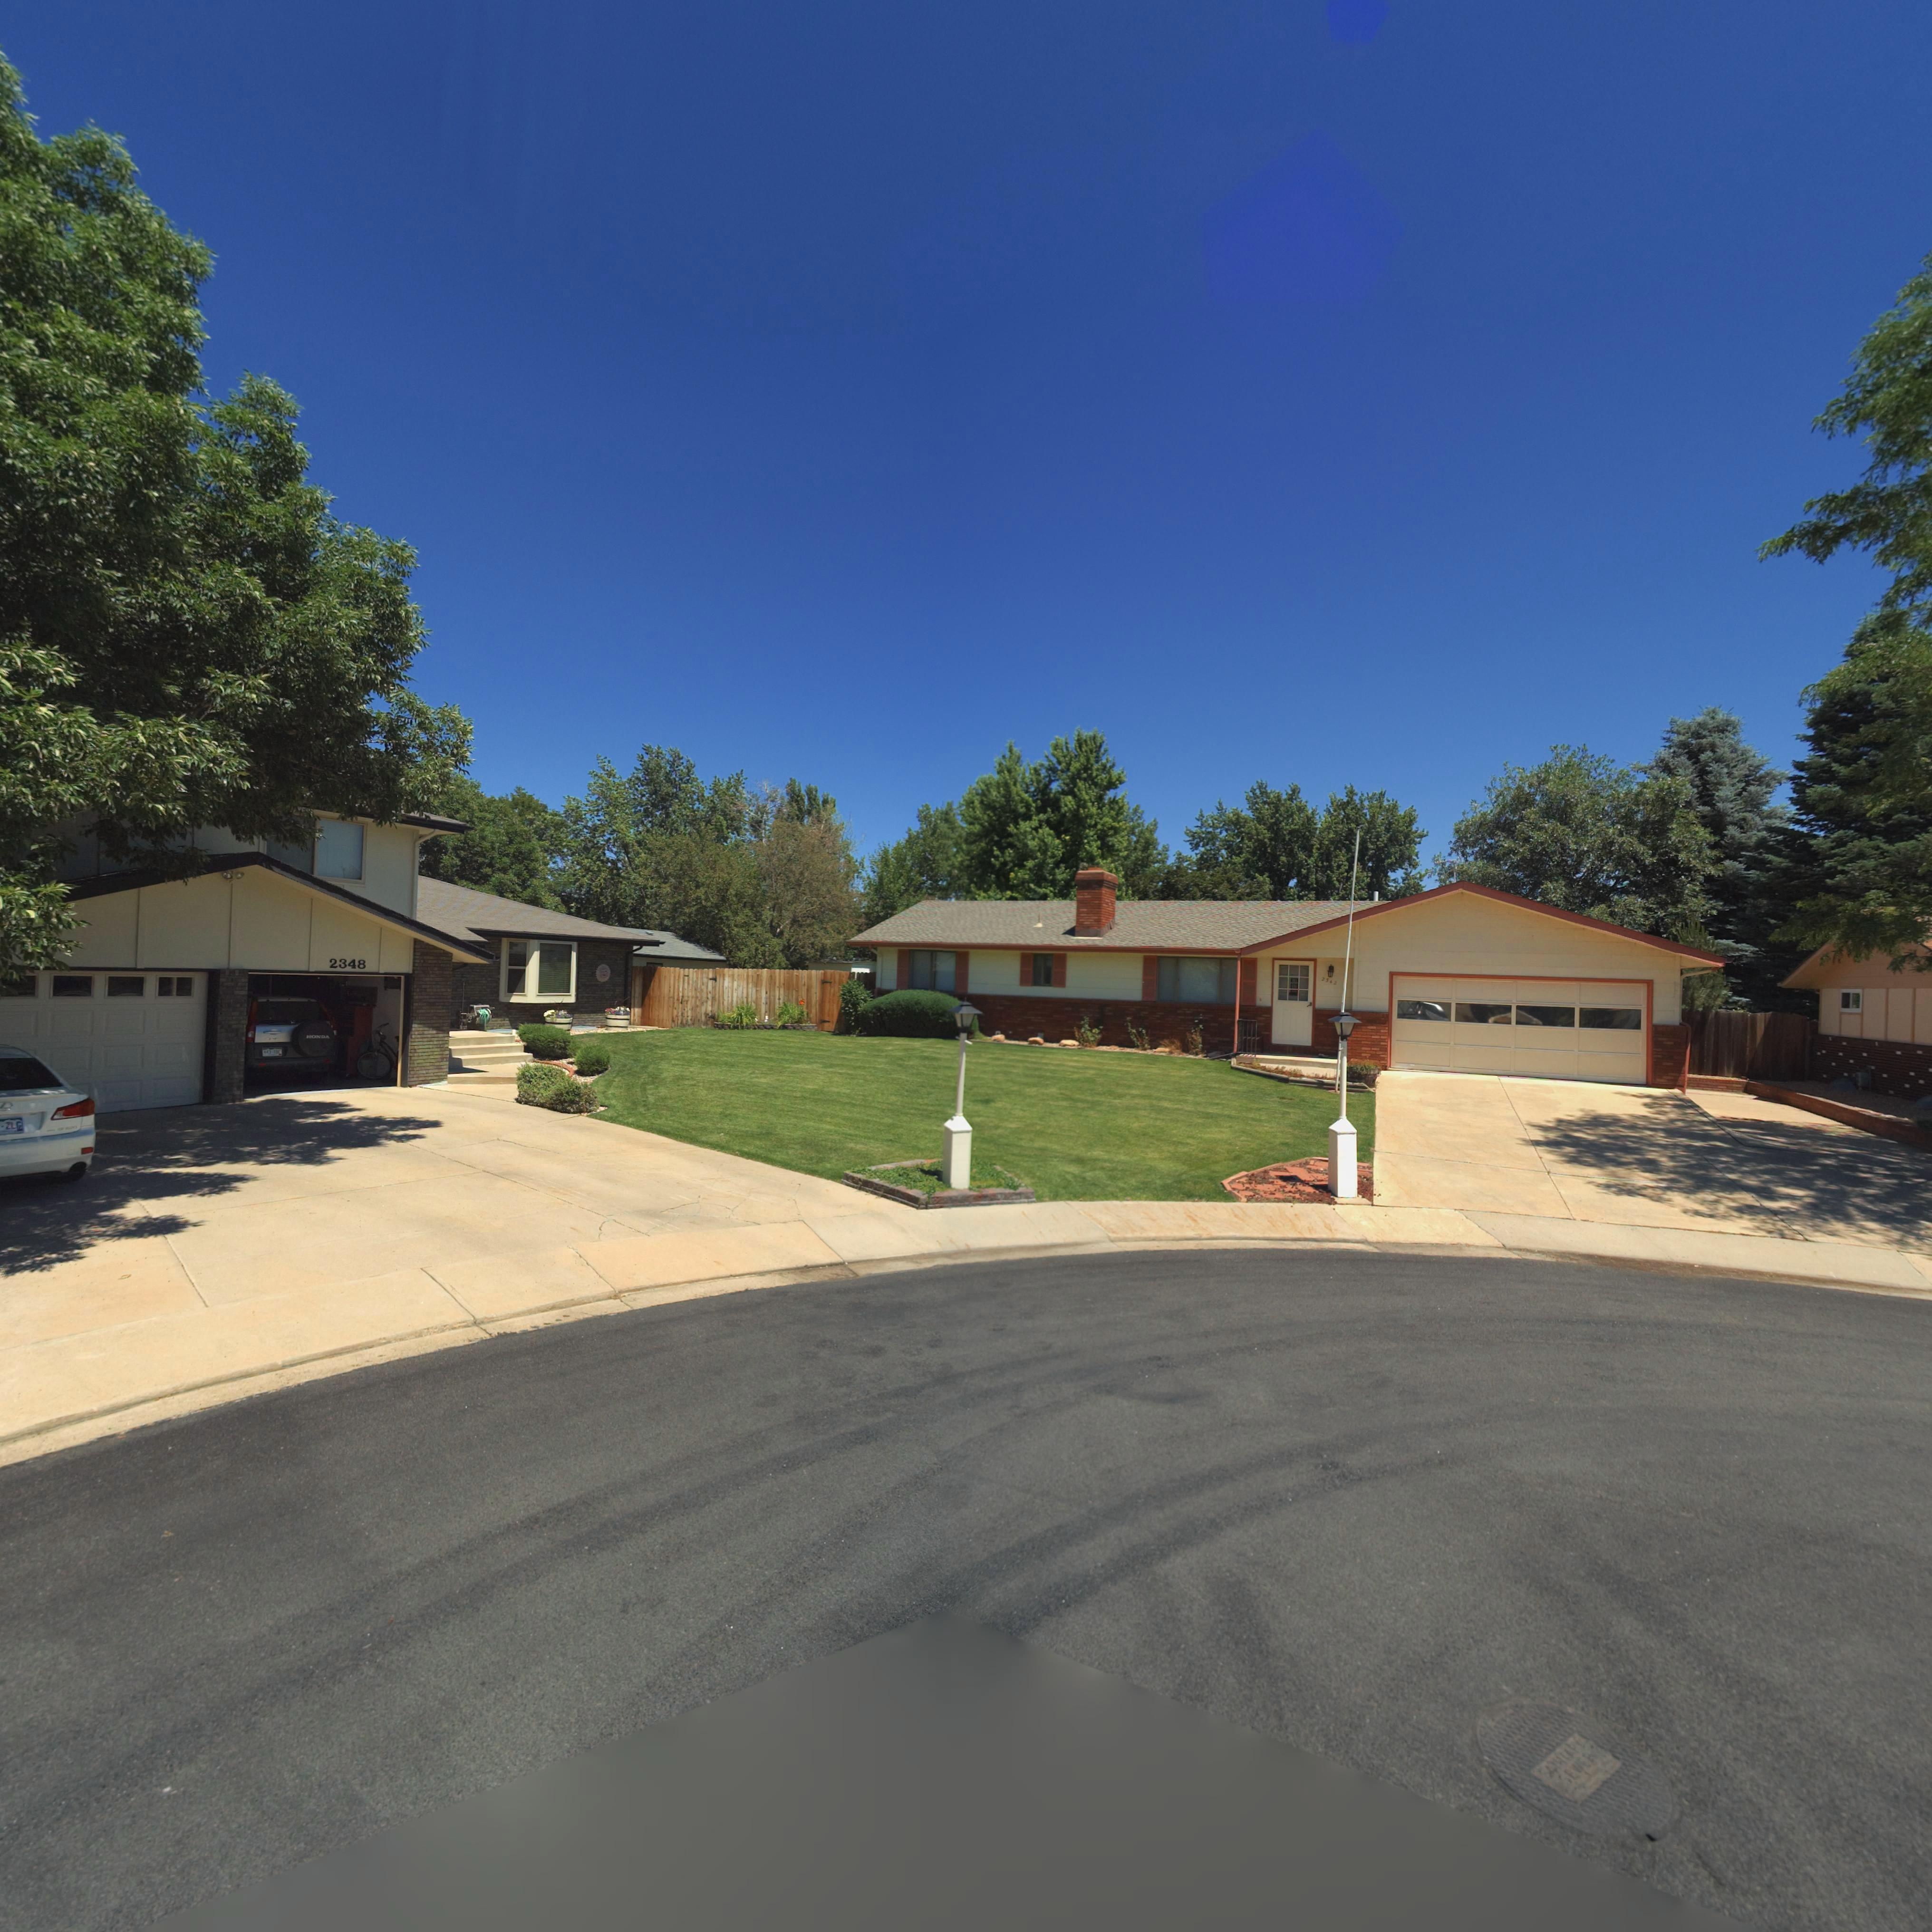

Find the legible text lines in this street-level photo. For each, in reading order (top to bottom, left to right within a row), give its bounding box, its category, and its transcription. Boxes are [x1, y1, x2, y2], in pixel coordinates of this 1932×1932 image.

[328, 957, 366, 969] StreetNumber: 2348
[1321, 976, 1337, 985] StreetNumber: 2342